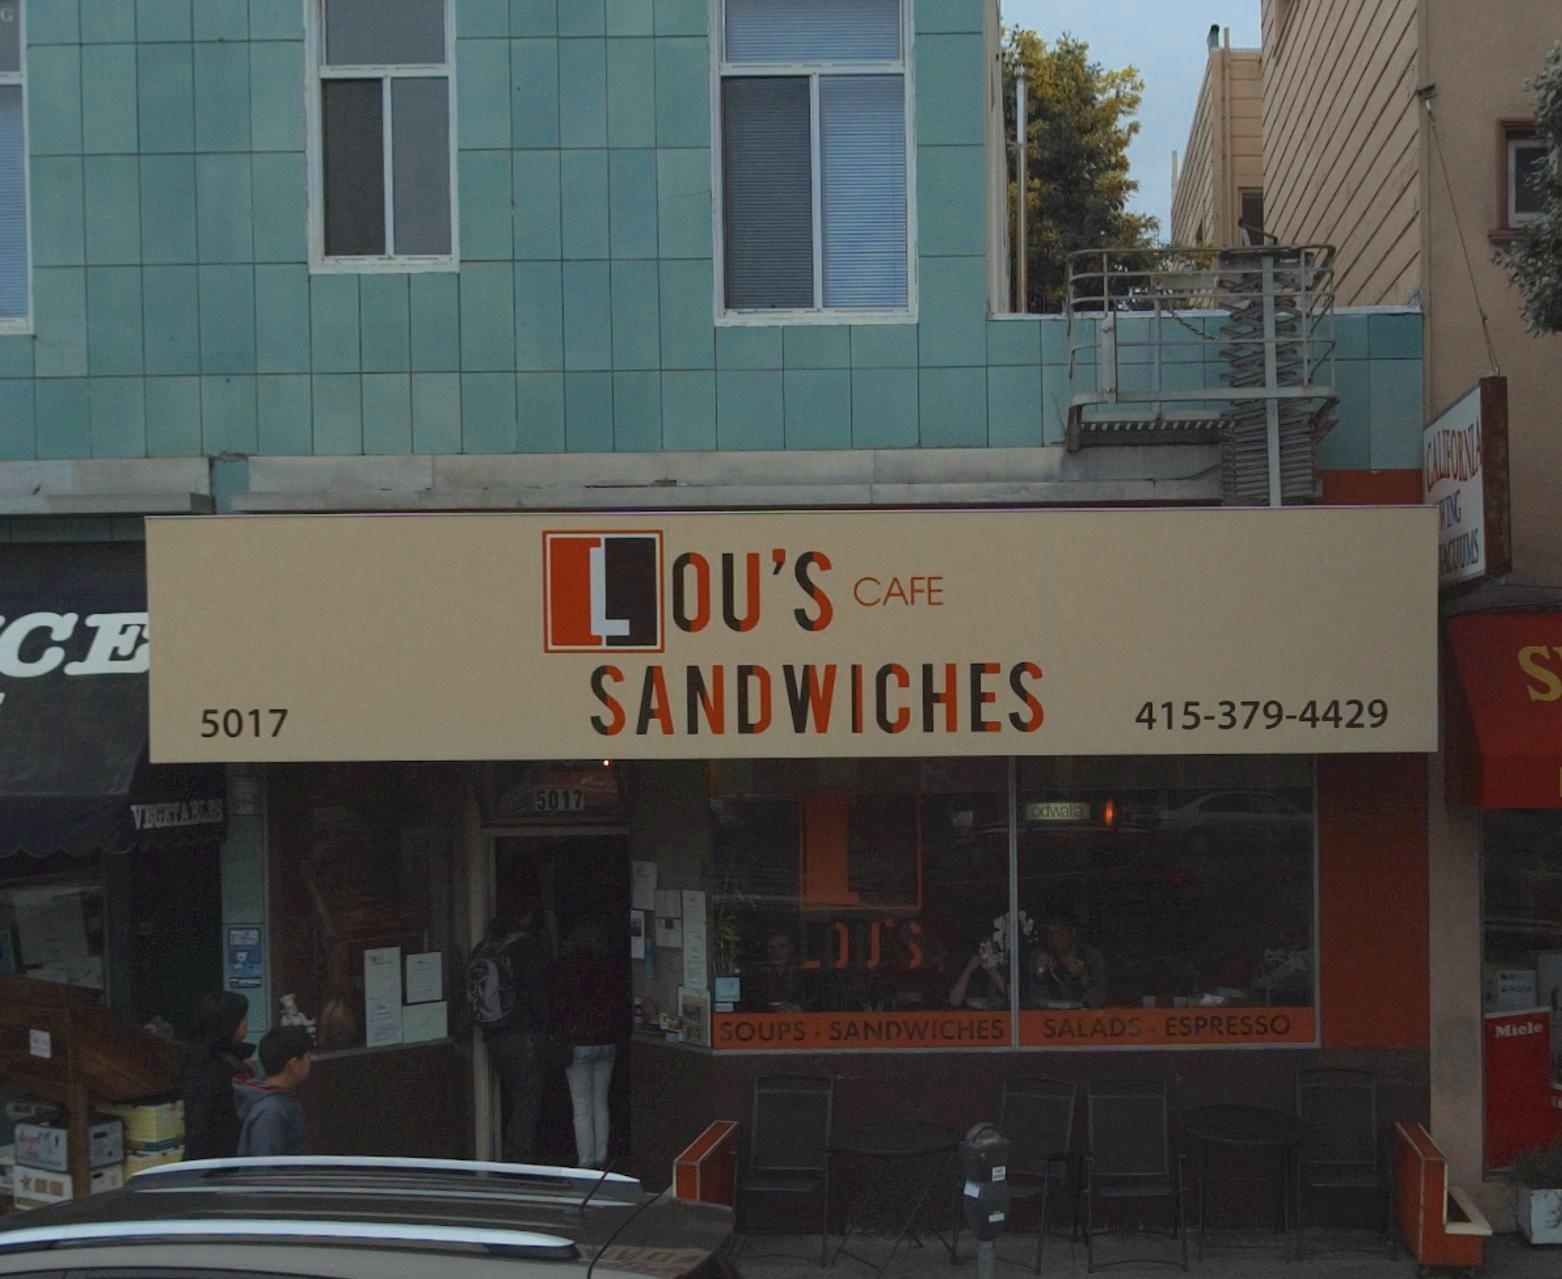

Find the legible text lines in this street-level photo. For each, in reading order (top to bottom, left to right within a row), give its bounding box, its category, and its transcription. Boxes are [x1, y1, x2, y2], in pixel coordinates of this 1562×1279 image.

[1422, 409, 1485, 497] BusinessName: CALIFORNIA
[1443, 484, 1465, 533] BusinessName: ING
[586, 542, 950, 641] BusinessName: LOU'S CAFE
[199, 705, 295, 742] StreetNumber: 5017
[587, 656, 1048, 740] BusinessName: SANDWICHES
[1131, 695, 1391, 732] None: 415-379-4429
[127, 796, 226, 833] None: VEGETABLES
[534, 787, 584, 812] StreetNumber: 5017
[1030, 801, 1086, 819] None: odwalla
[717, 1011, 1295, 1045] None: SOUPS*SANDWICHES SALADS*ESPRESSO
[1492, 1018, 1546, 1041] None: Miele